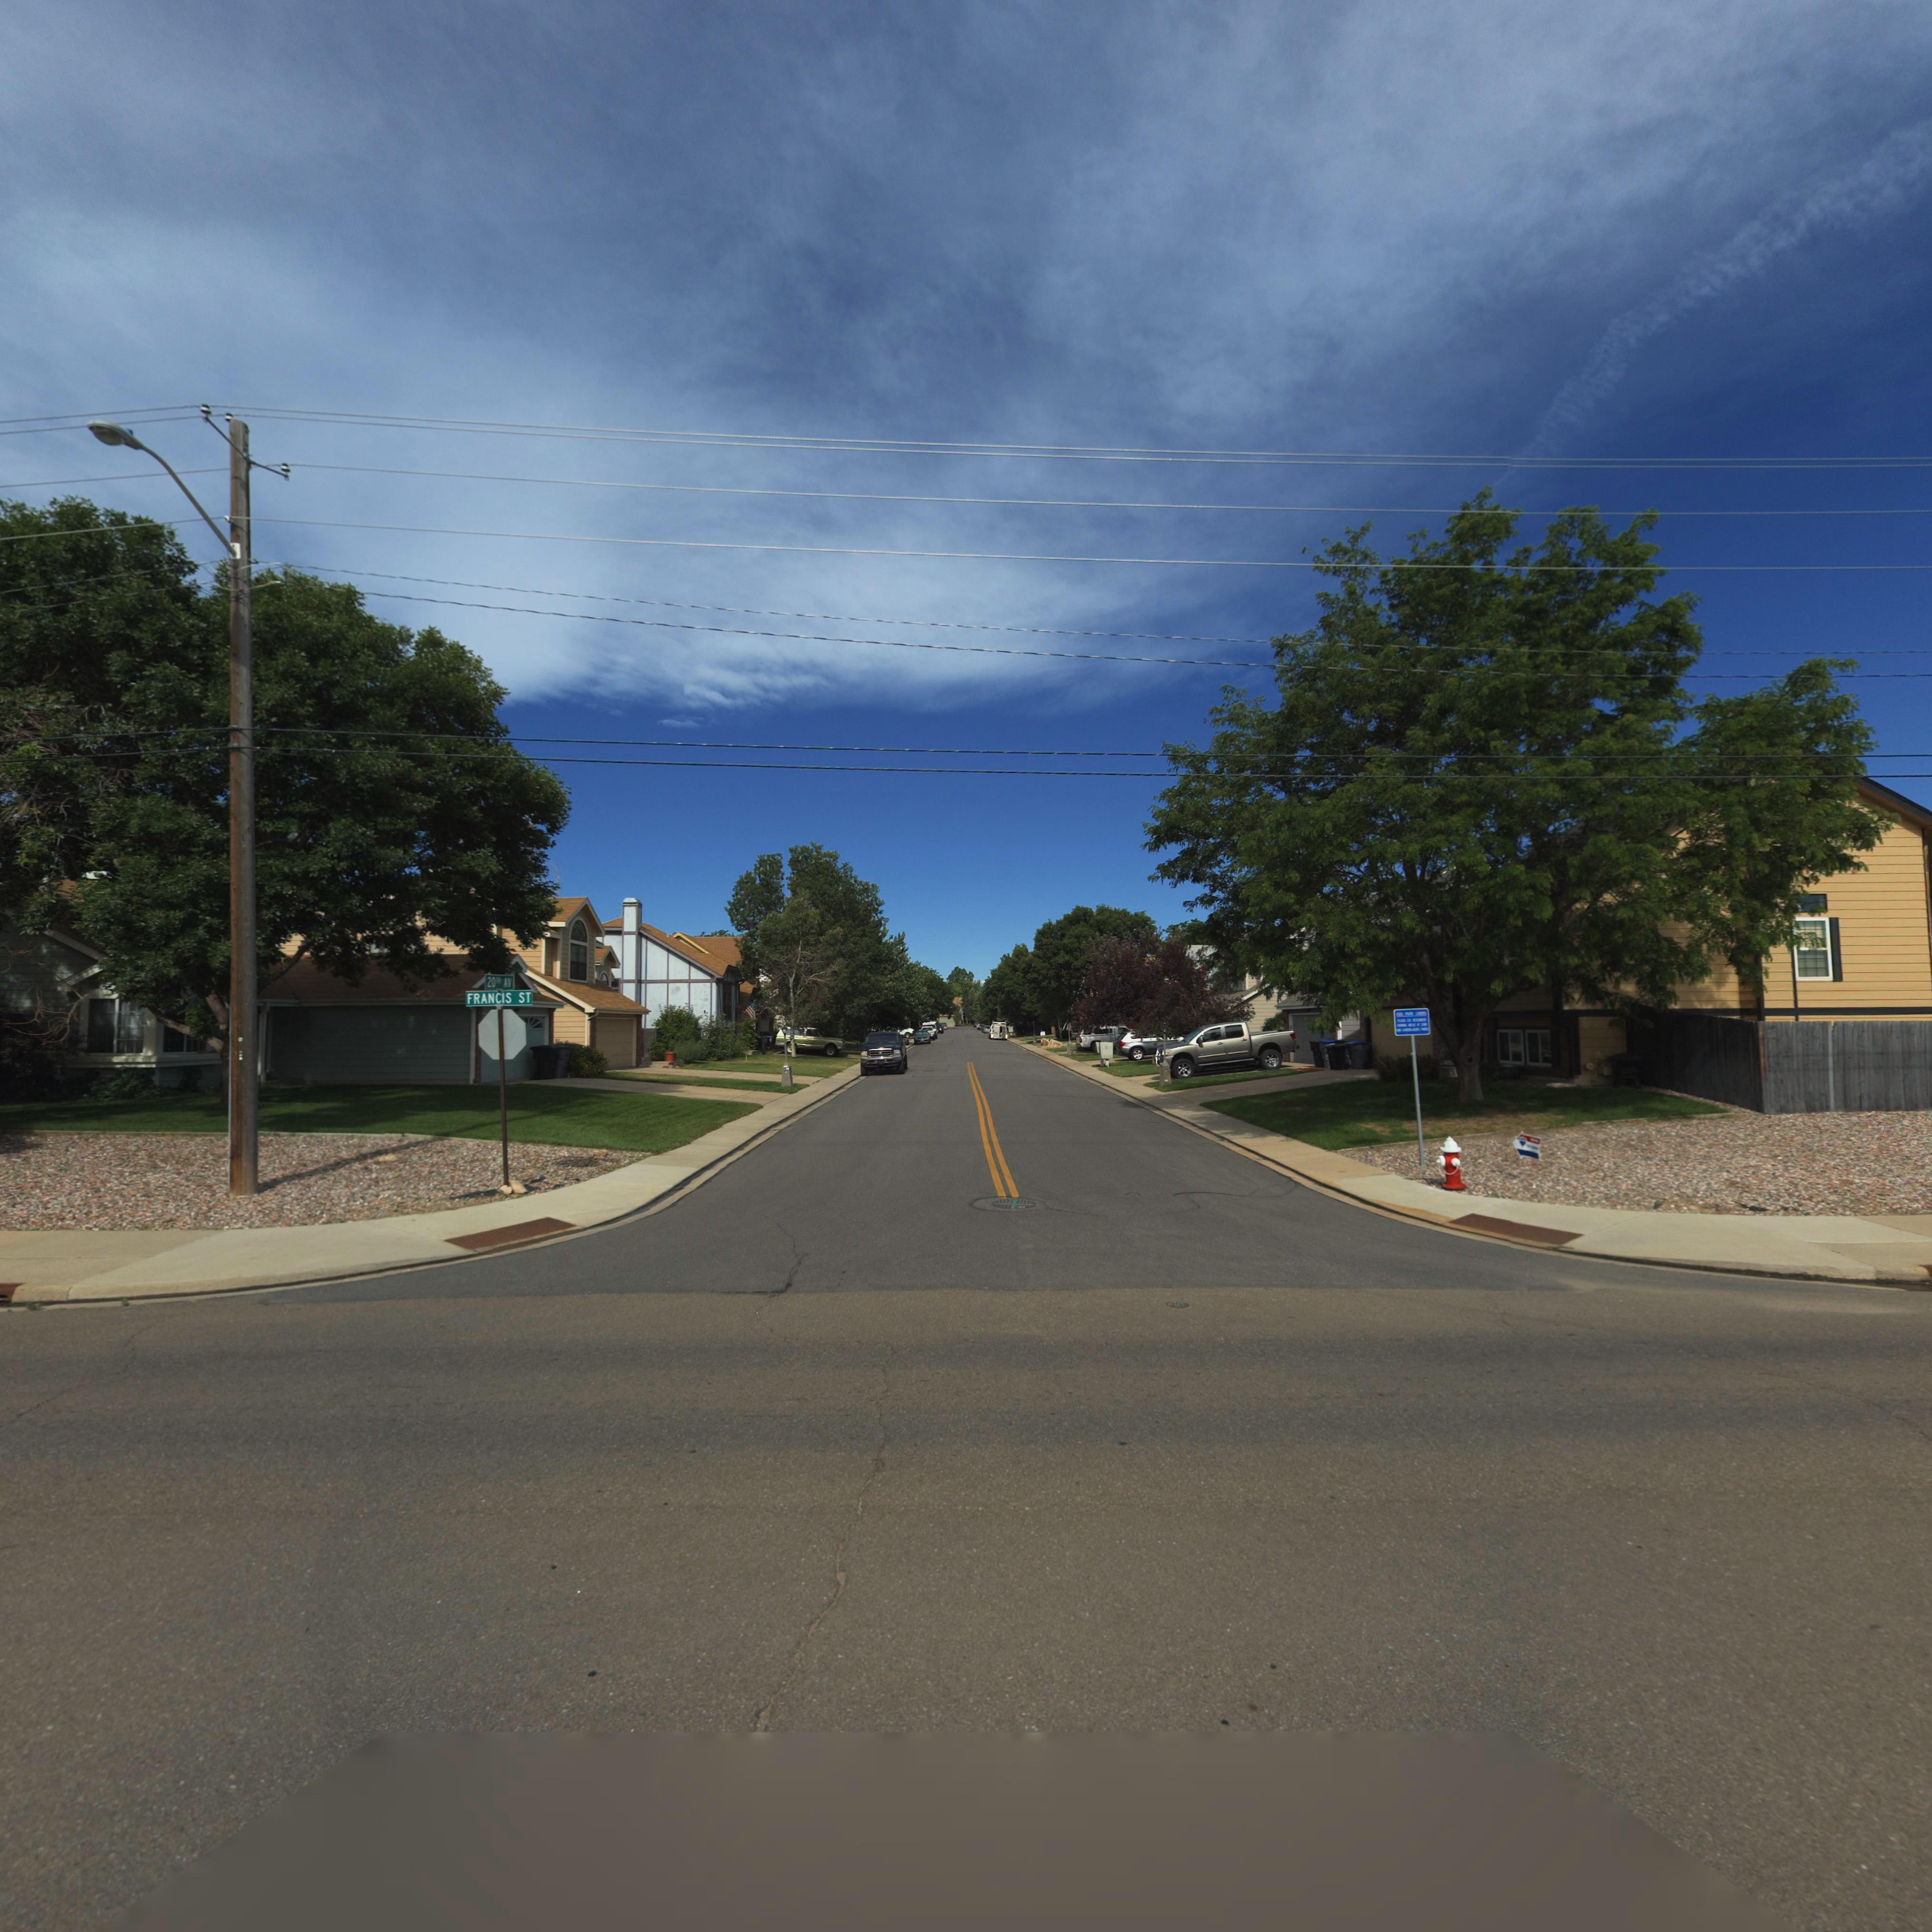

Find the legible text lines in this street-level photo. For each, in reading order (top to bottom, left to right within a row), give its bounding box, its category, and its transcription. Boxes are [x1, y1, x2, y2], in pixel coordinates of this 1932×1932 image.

[487, 976, 512, 988] StreetName: 20TH AV
[466, 991, 531, 1004] StreetName: FRANCIS ST